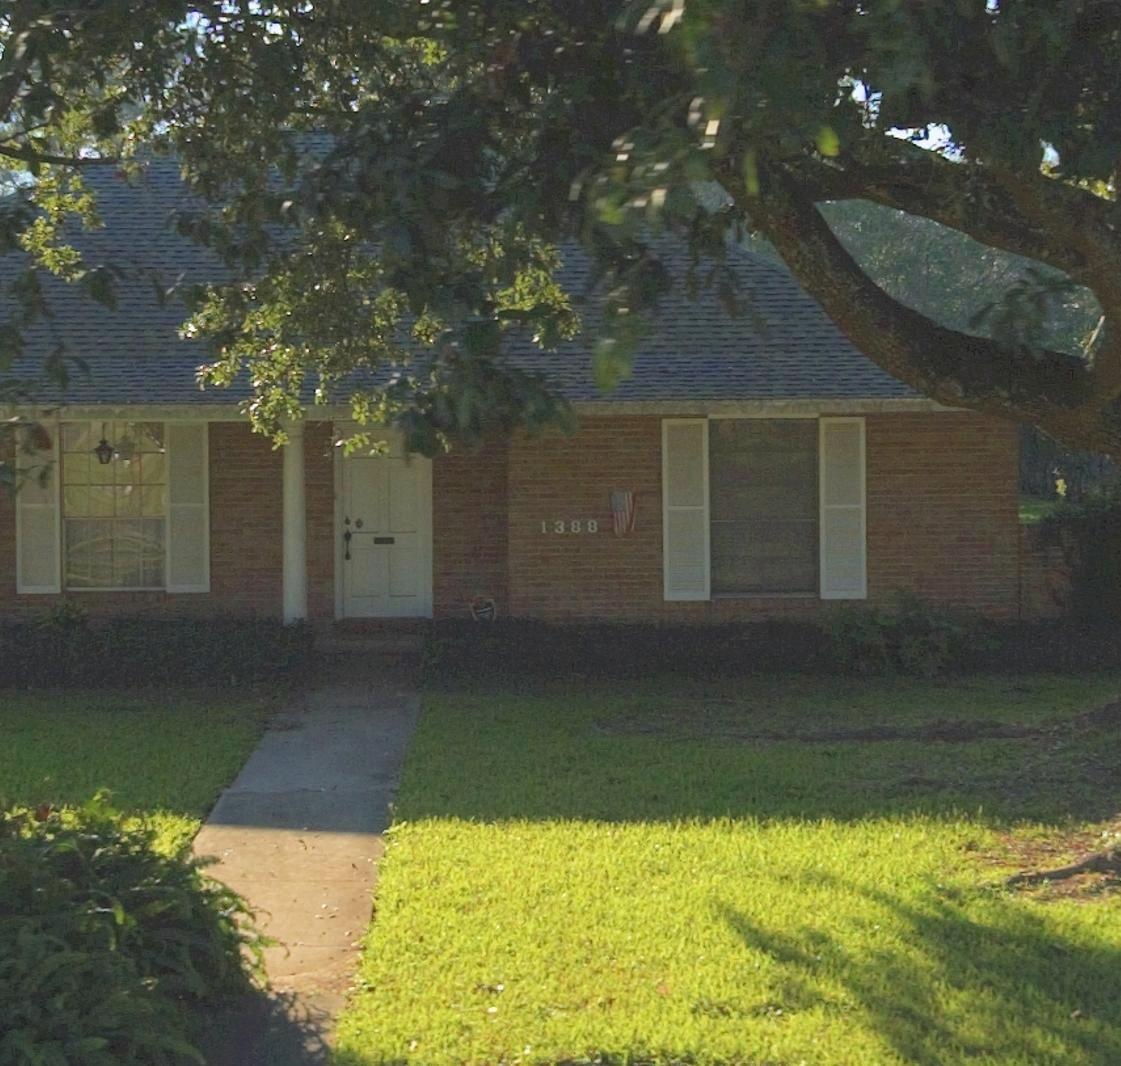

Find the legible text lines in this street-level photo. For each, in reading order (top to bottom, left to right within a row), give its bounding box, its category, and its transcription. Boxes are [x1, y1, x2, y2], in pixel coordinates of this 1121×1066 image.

[540, 519, 599, 534] StreetNumber: 1388